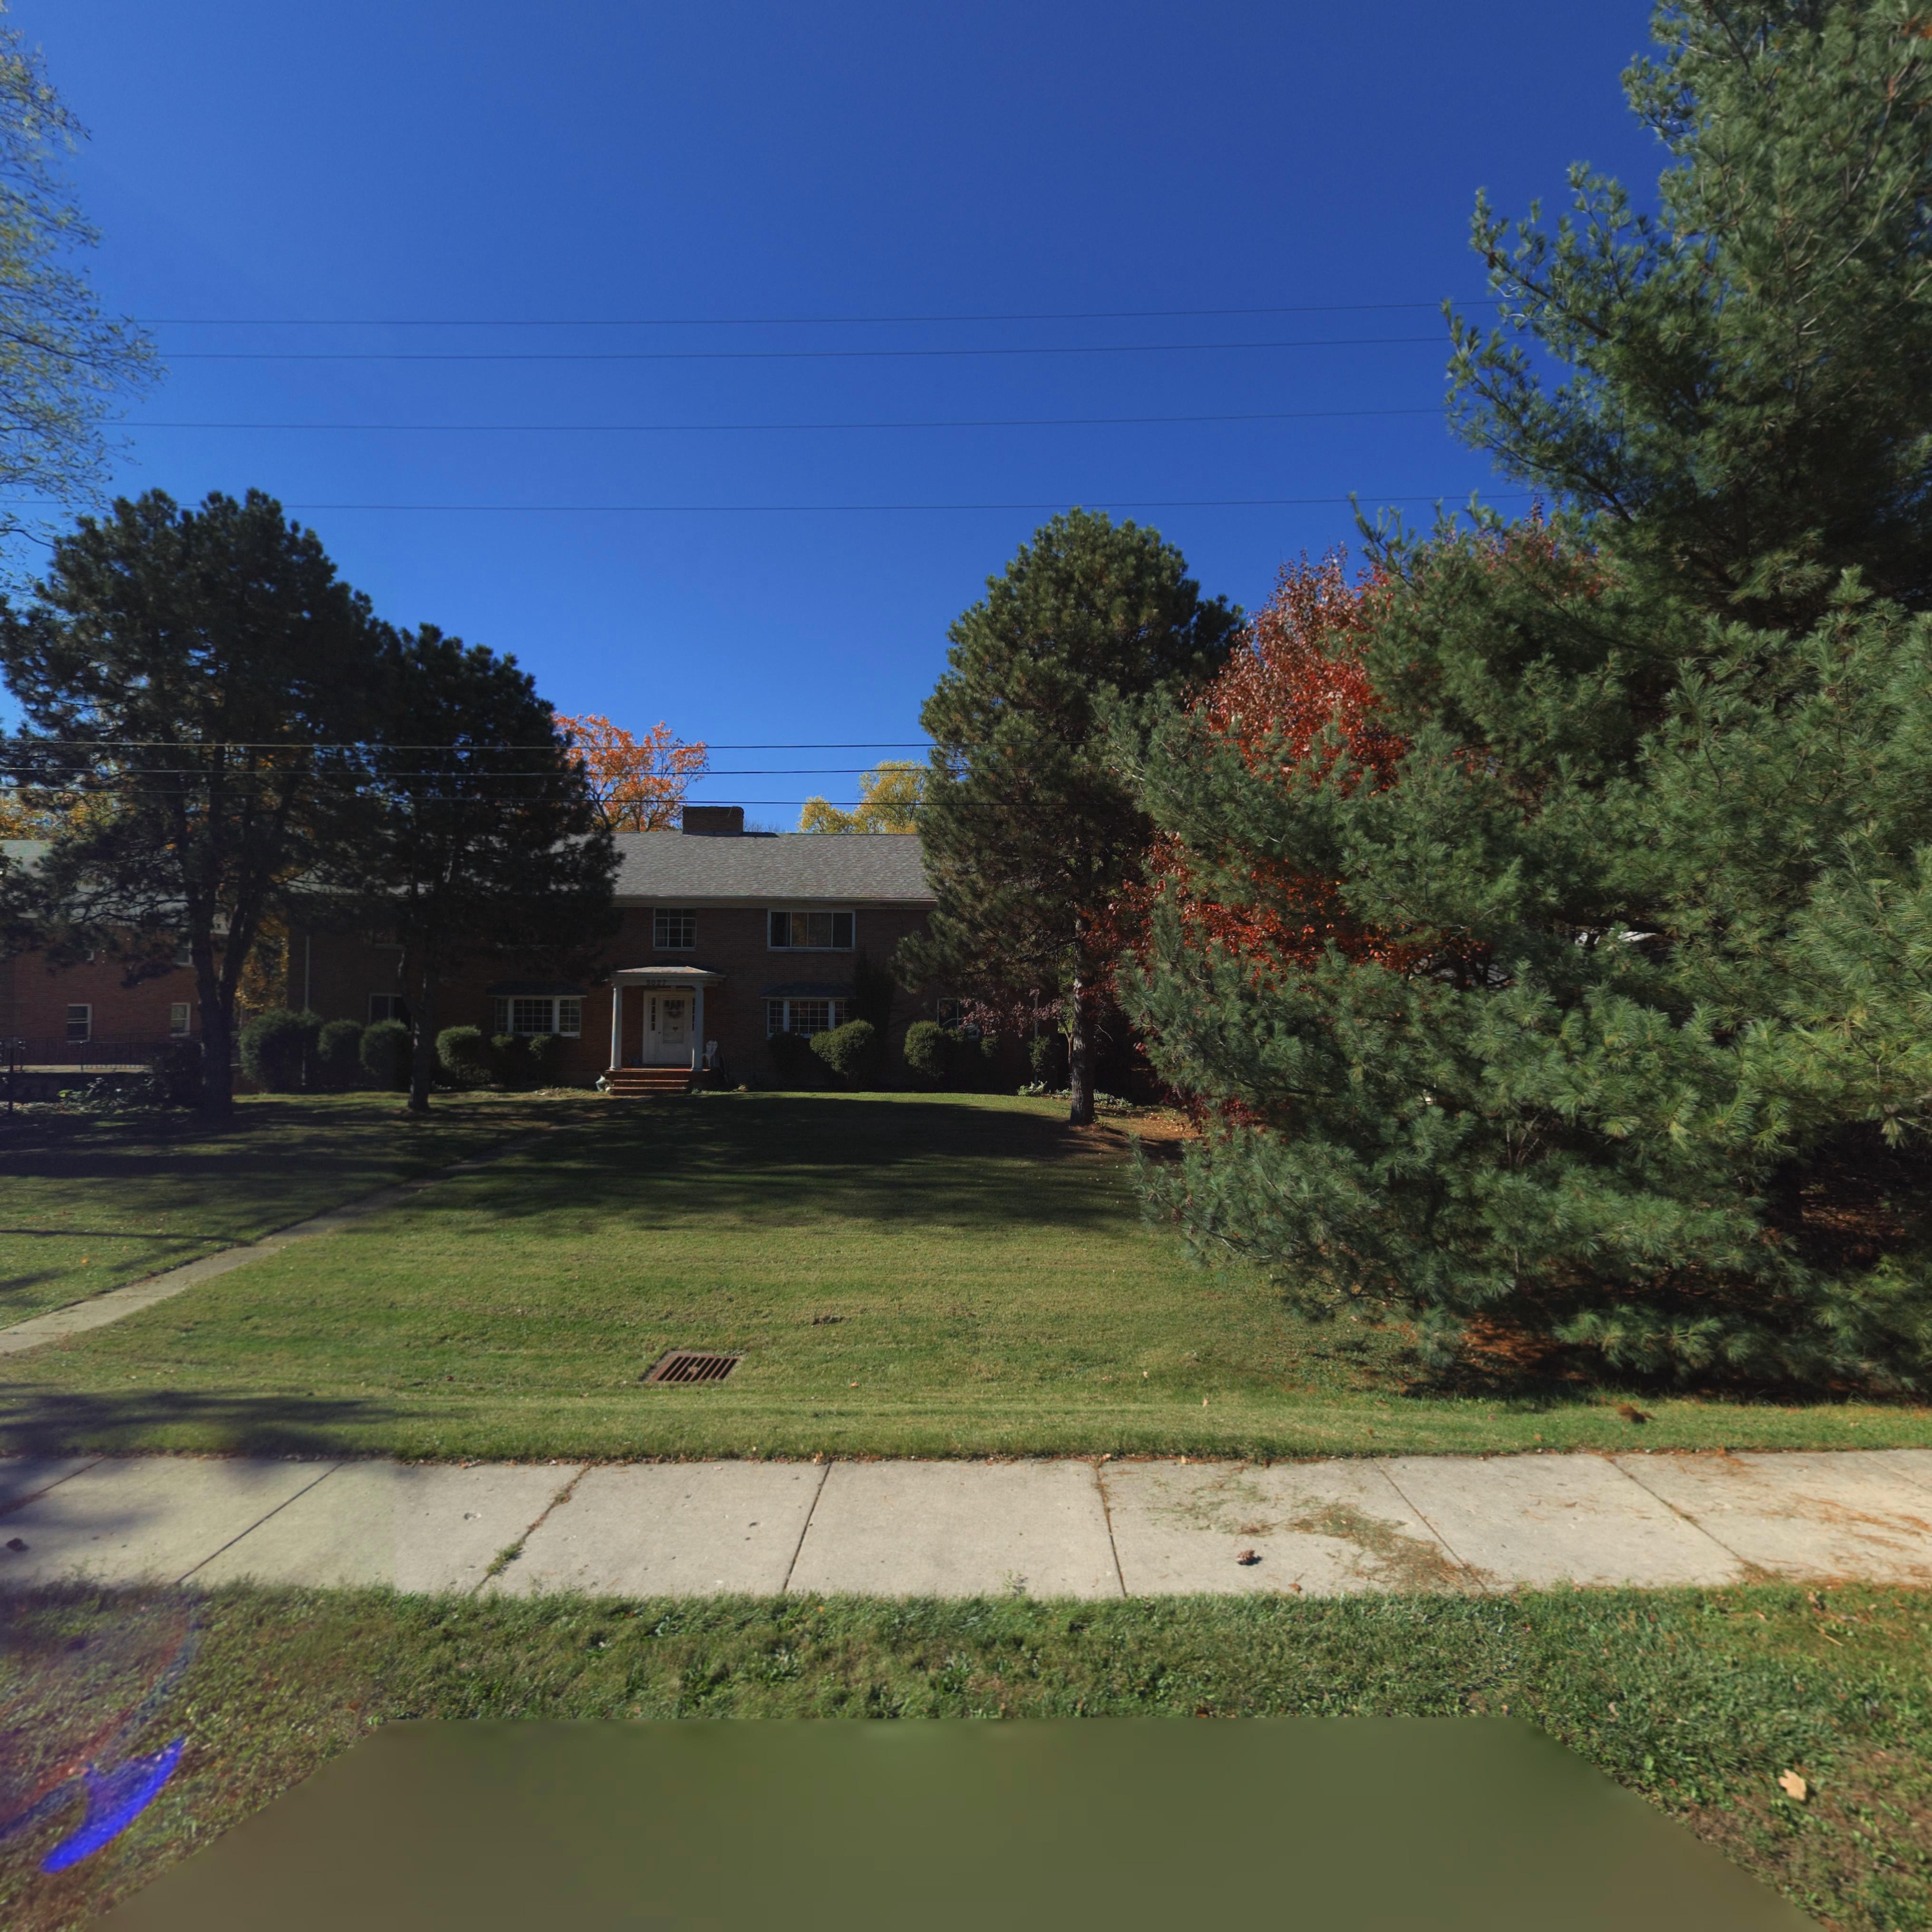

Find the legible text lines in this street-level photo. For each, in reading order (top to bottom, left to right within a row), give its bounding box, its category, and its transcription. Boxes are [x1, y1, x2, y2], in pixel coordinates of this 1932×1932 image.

[645, 979, 667, 985] StreetNumber: 5027